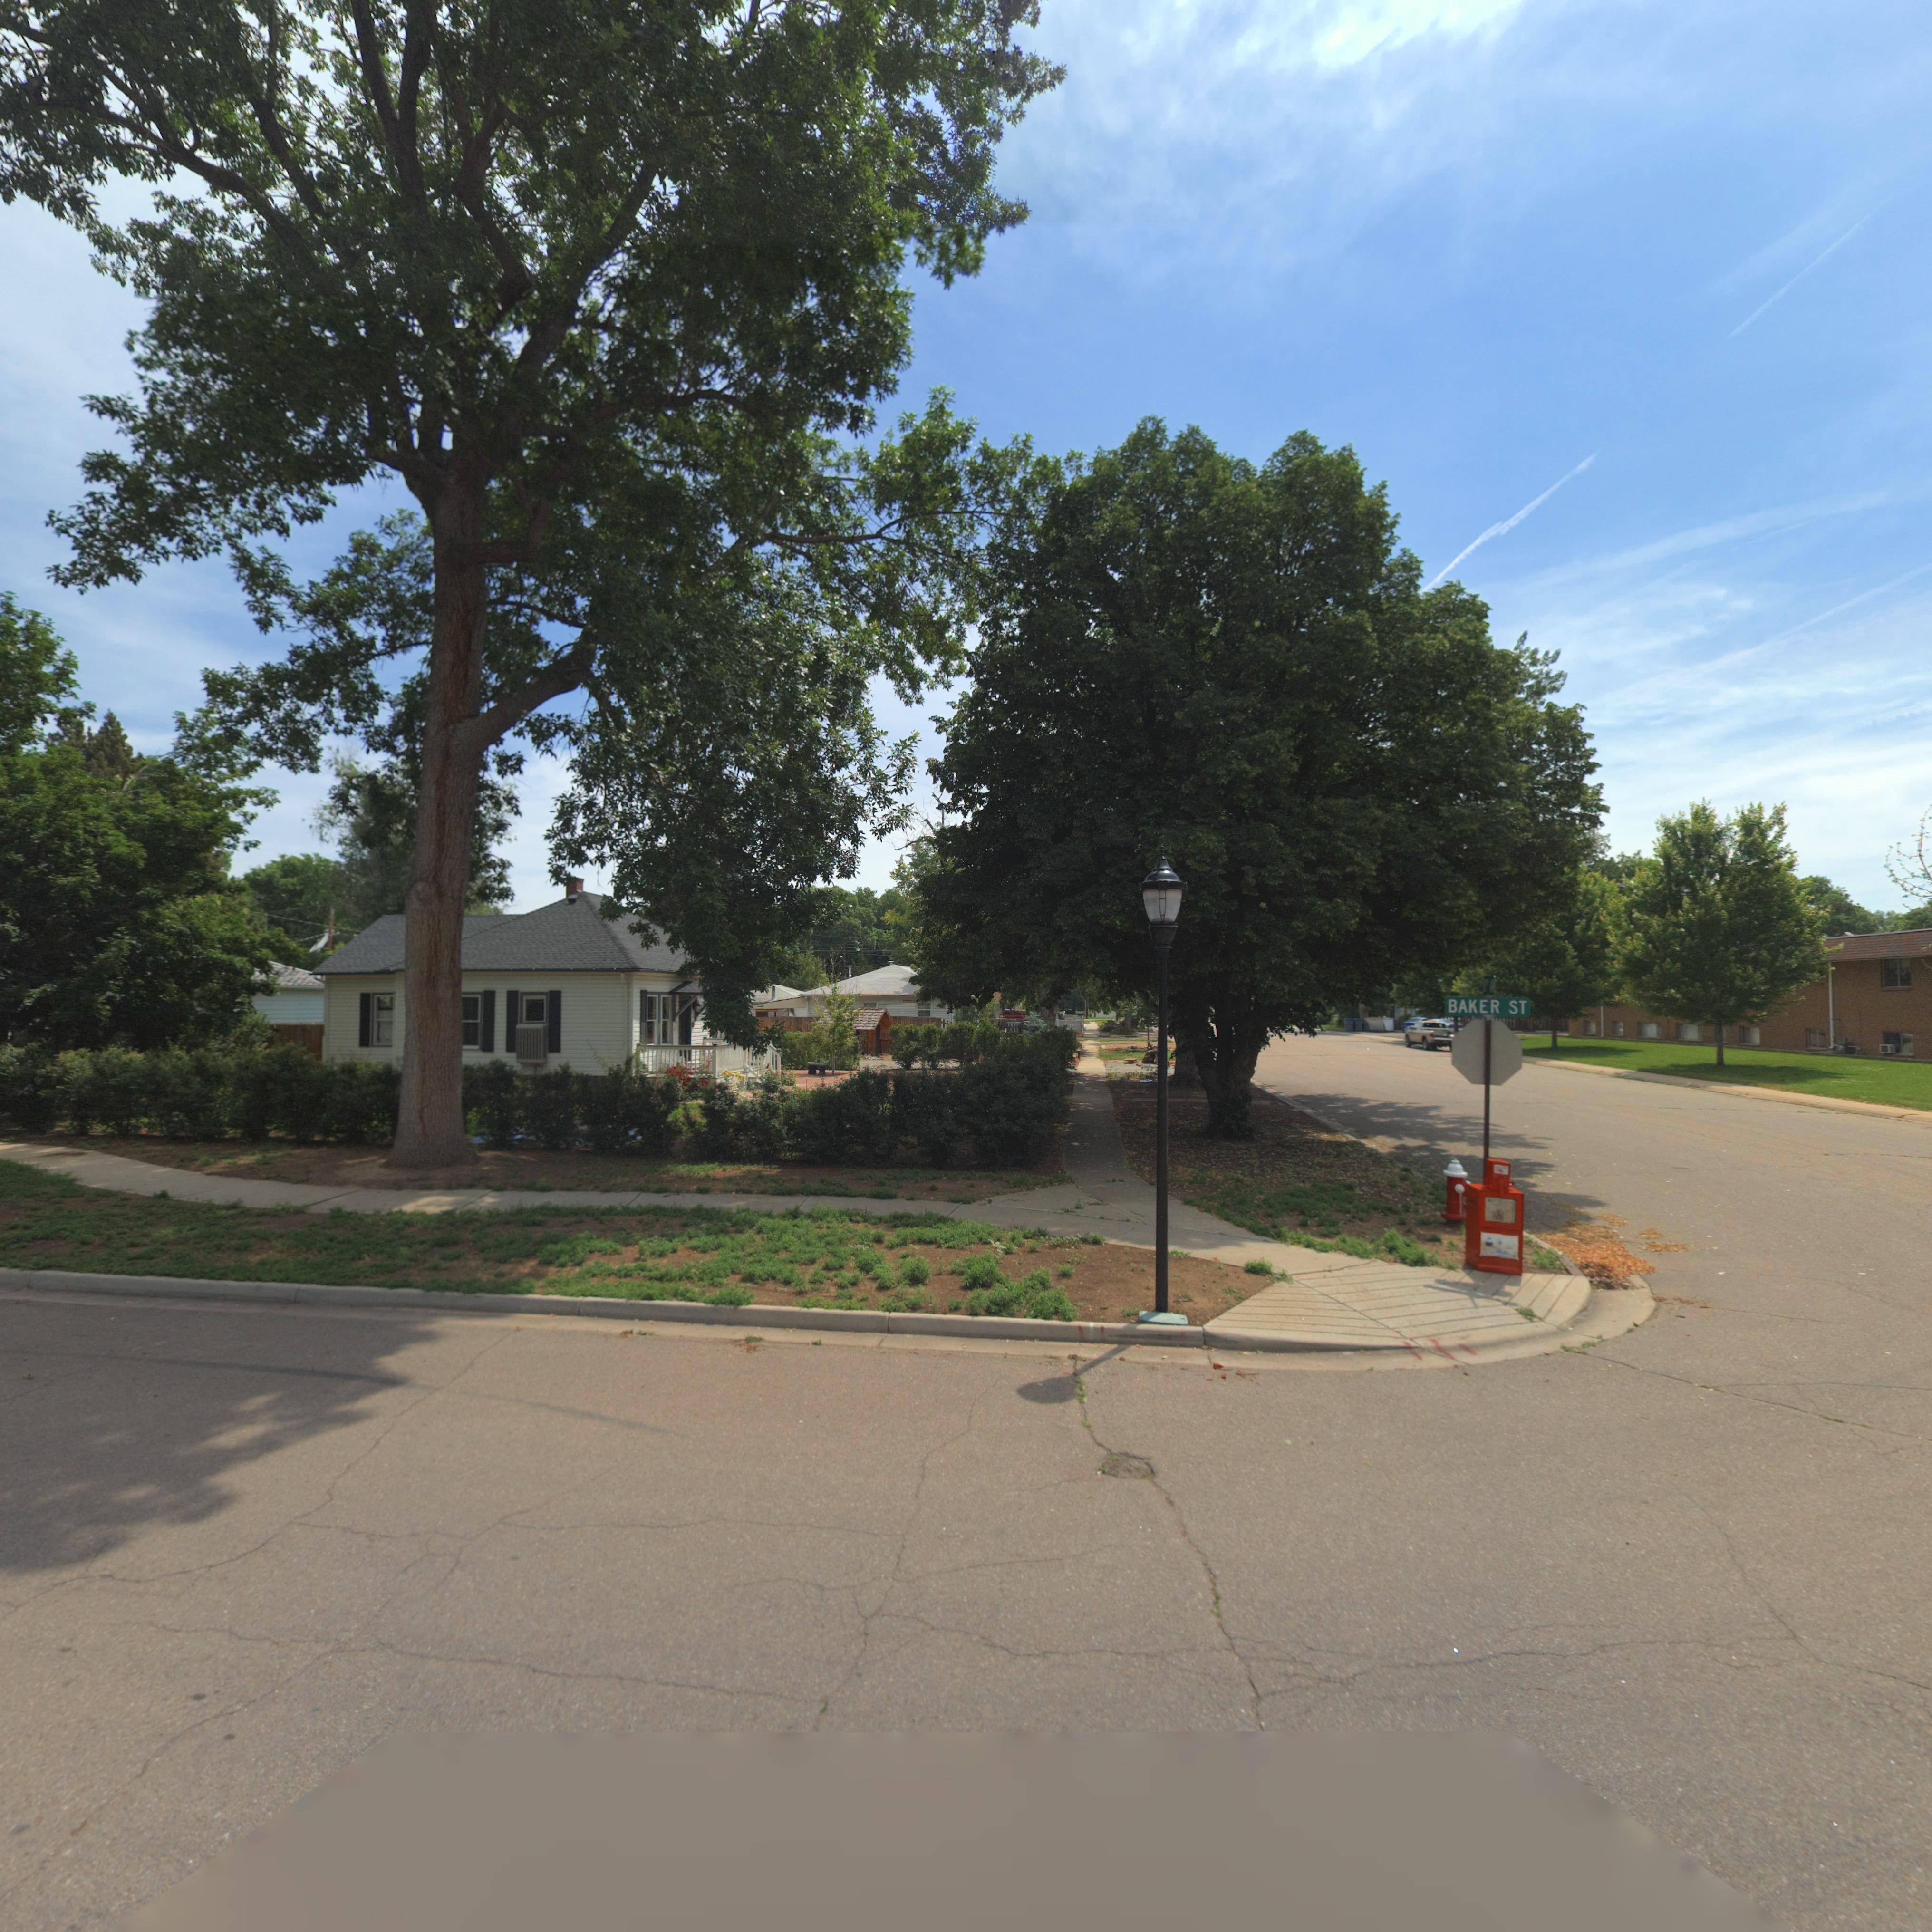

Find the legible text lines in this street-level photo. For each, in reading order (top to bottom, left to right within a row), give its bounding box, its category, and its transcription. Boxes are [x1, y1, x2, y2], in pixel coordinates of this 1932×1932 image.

[1448, 999, 1527, 1014] StreetName: BAKER ST